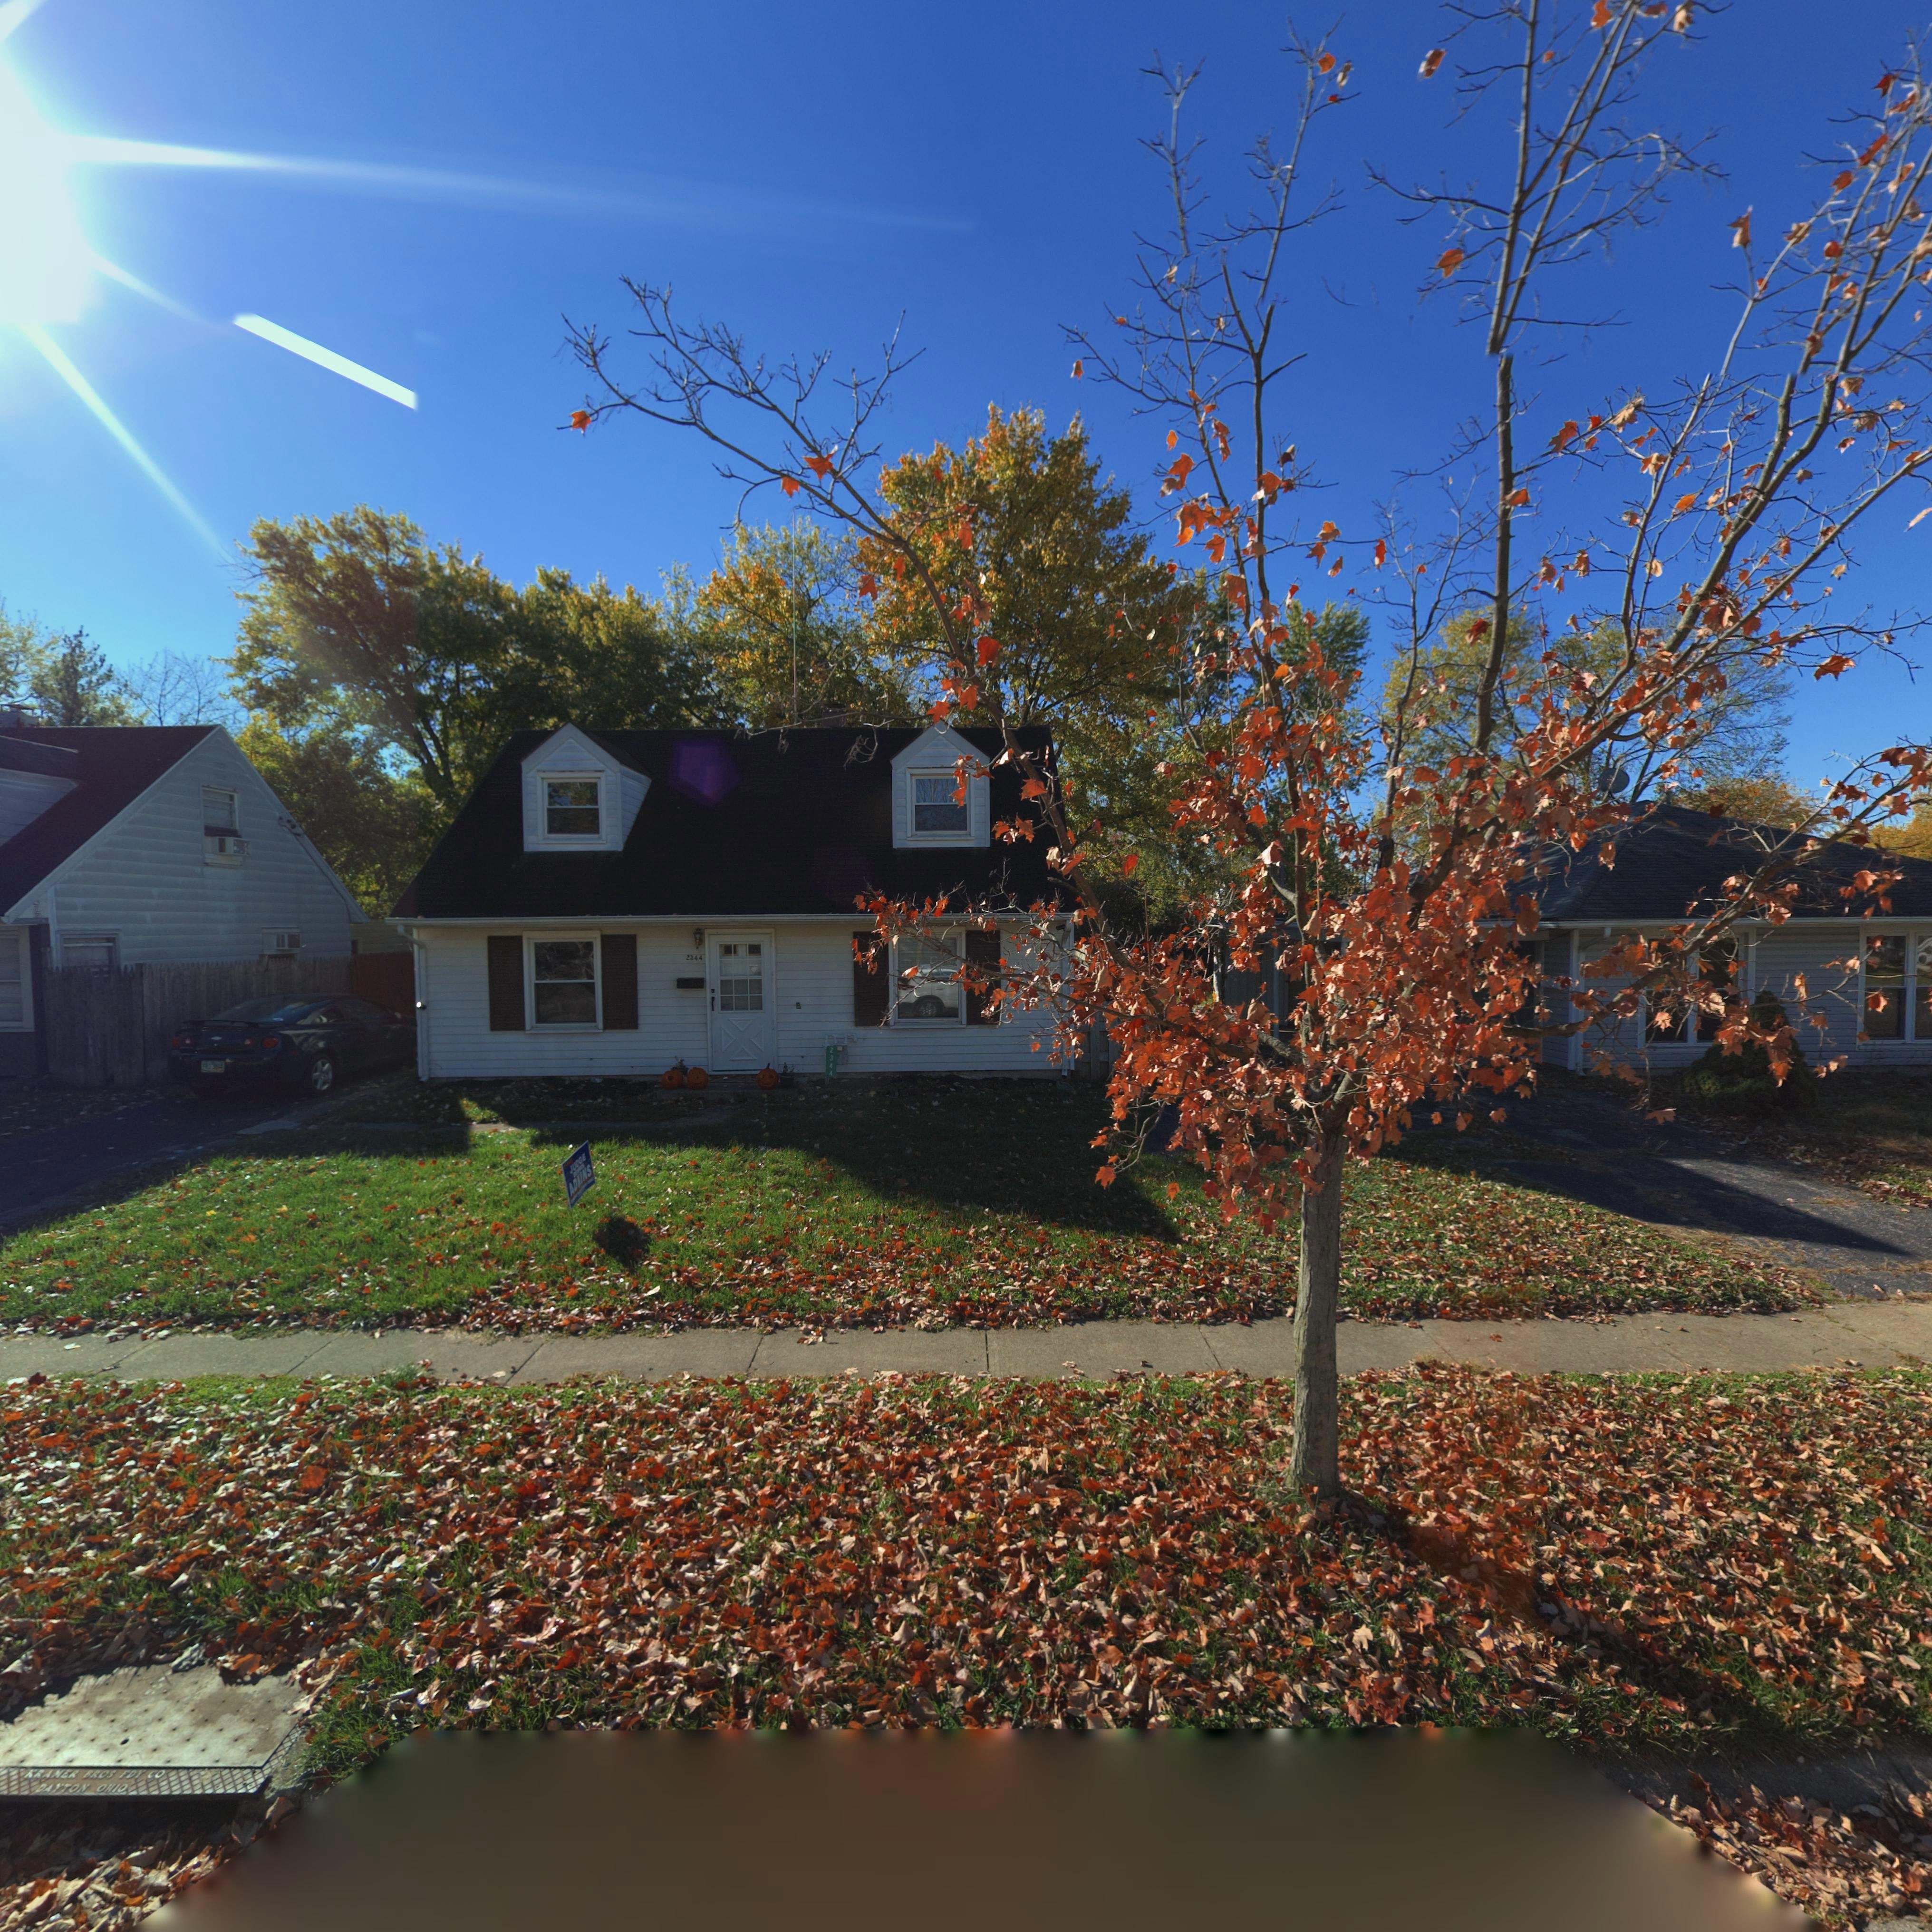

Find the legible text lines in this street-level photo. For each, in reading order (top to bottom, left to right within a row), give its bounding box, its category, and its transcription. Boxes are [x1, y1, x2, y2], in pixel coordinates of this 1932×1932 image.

[685, 954, 704, 961] StreetNumber: 2*44
[828, 1046, 834, 1077] StreetNumber: 2344